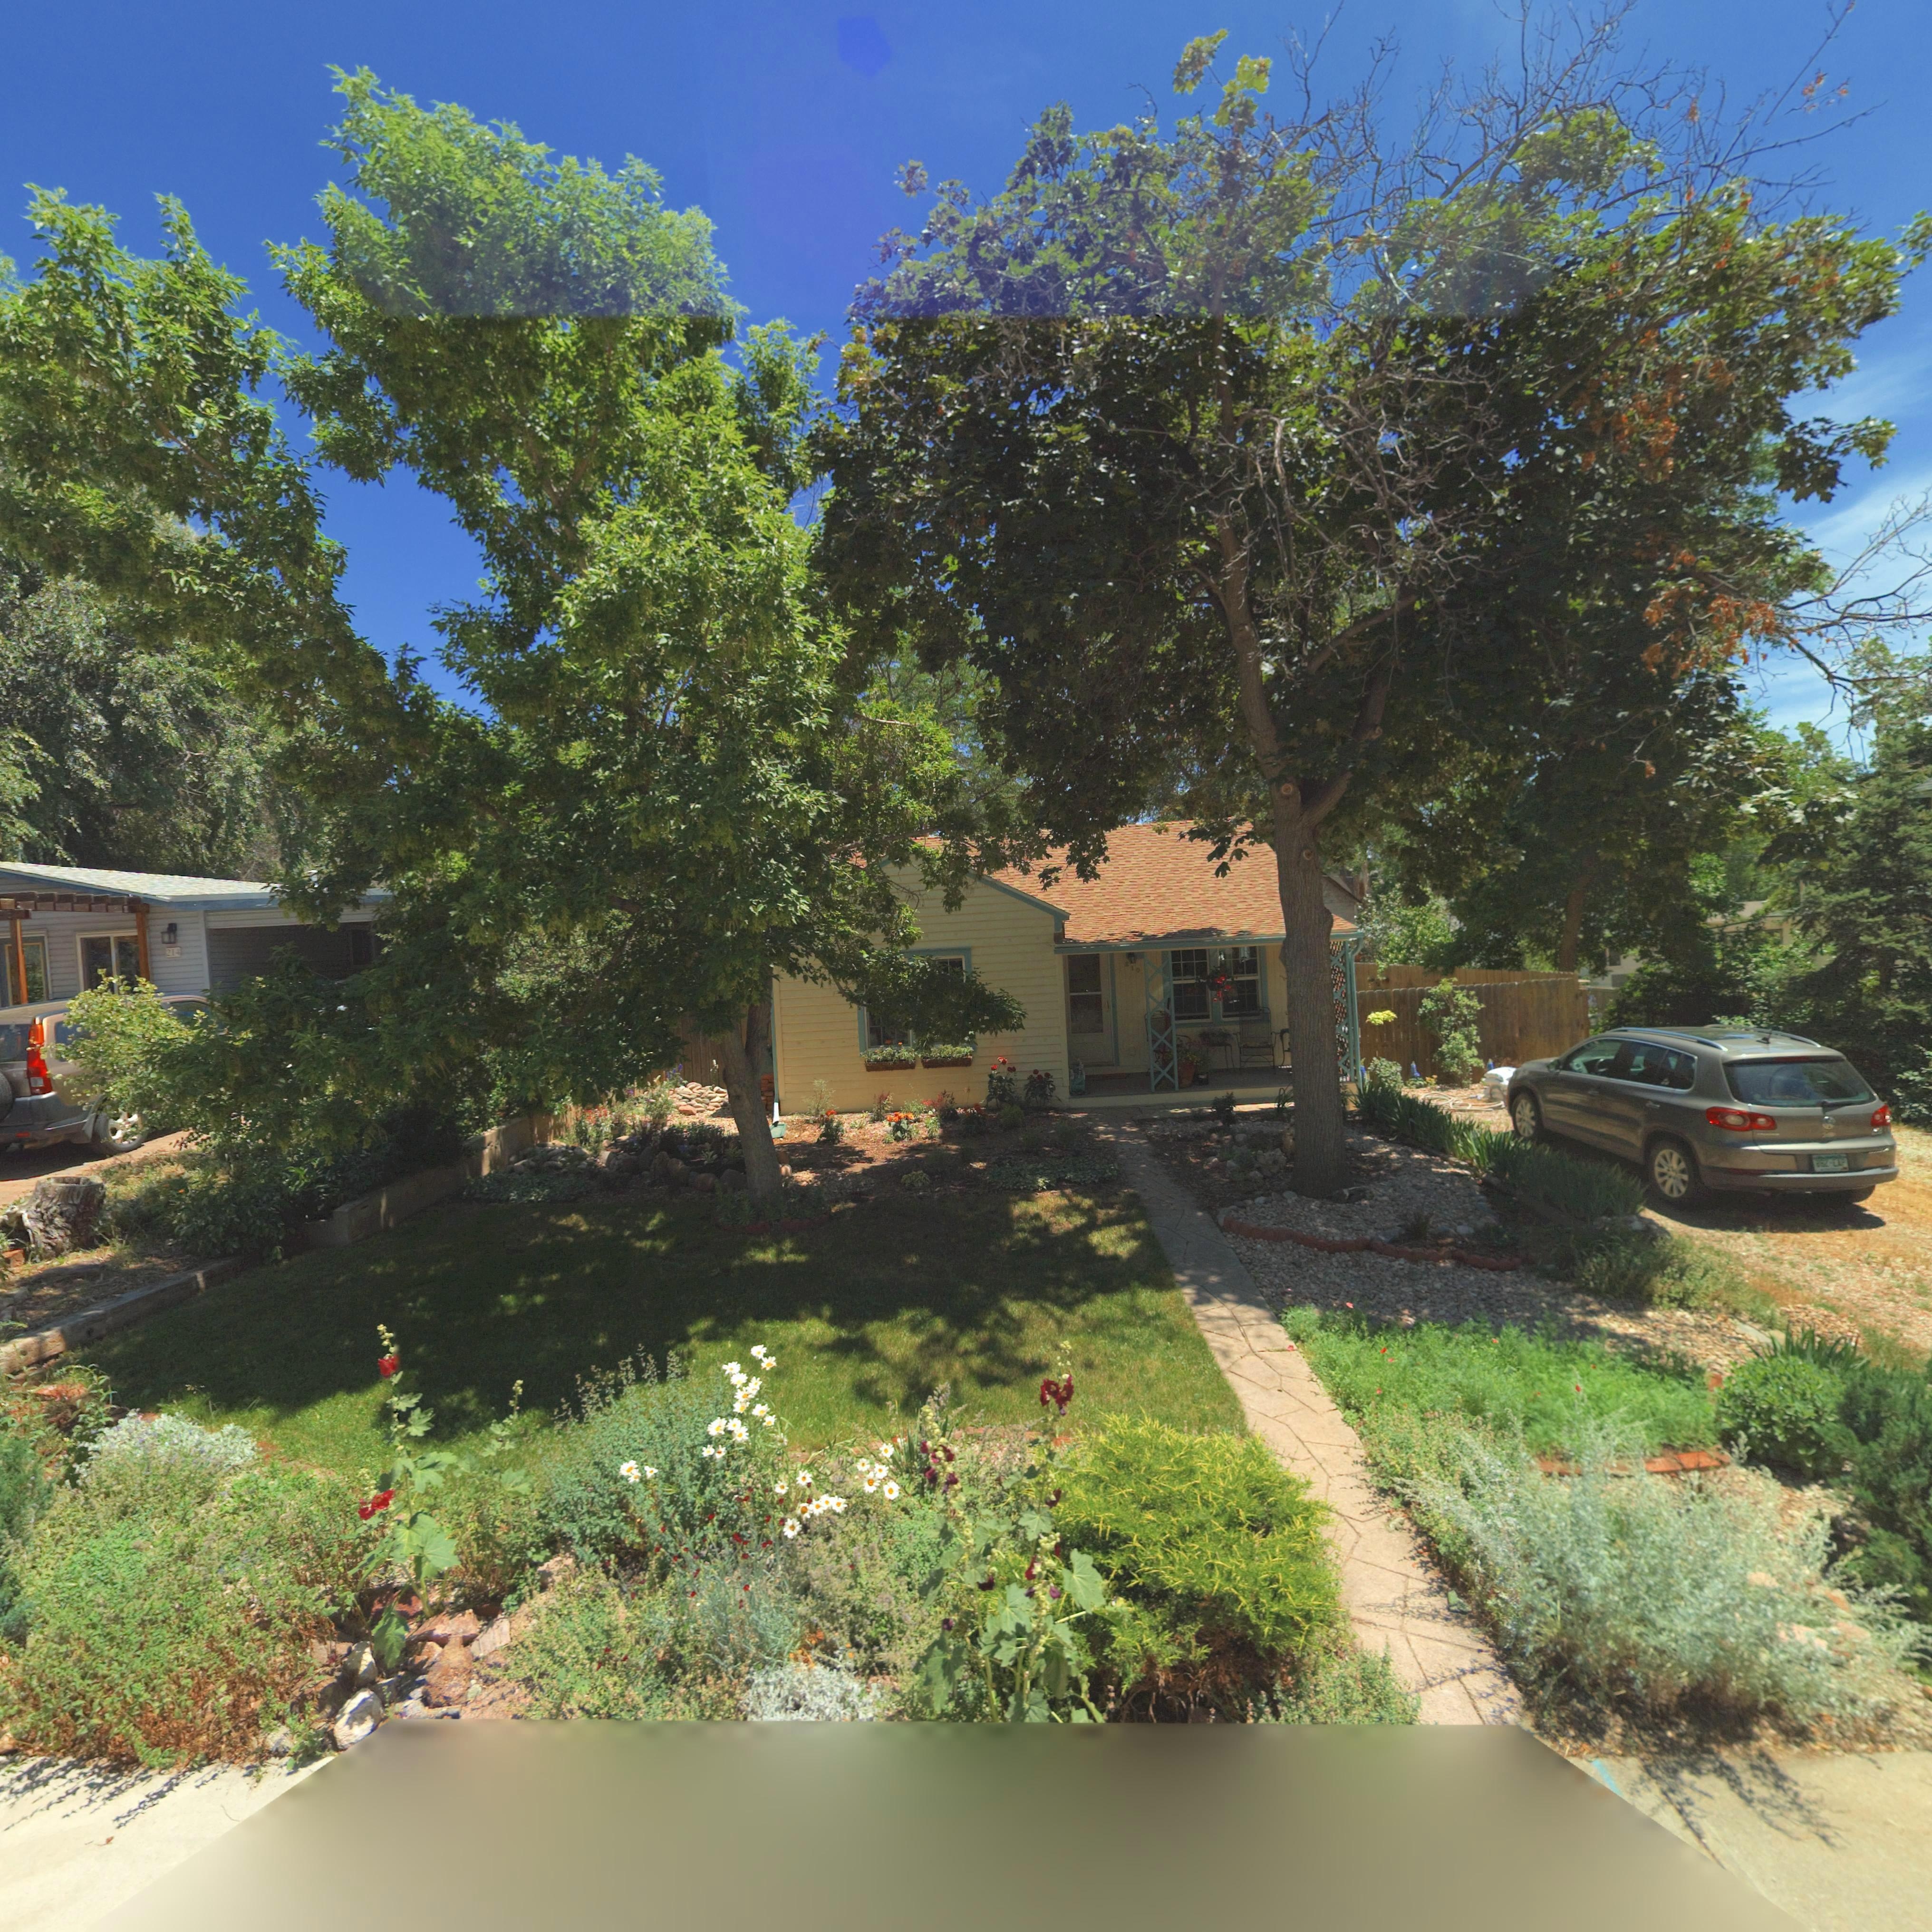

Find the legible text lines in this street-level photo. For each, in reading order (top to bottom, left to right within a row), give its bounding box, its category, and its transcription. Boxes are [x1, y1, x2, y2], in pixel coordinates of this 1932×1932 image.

[165, 948, 180, 956] StreetNumber: 214
[1124, 961, 1140, 973] StreetNumber: 210